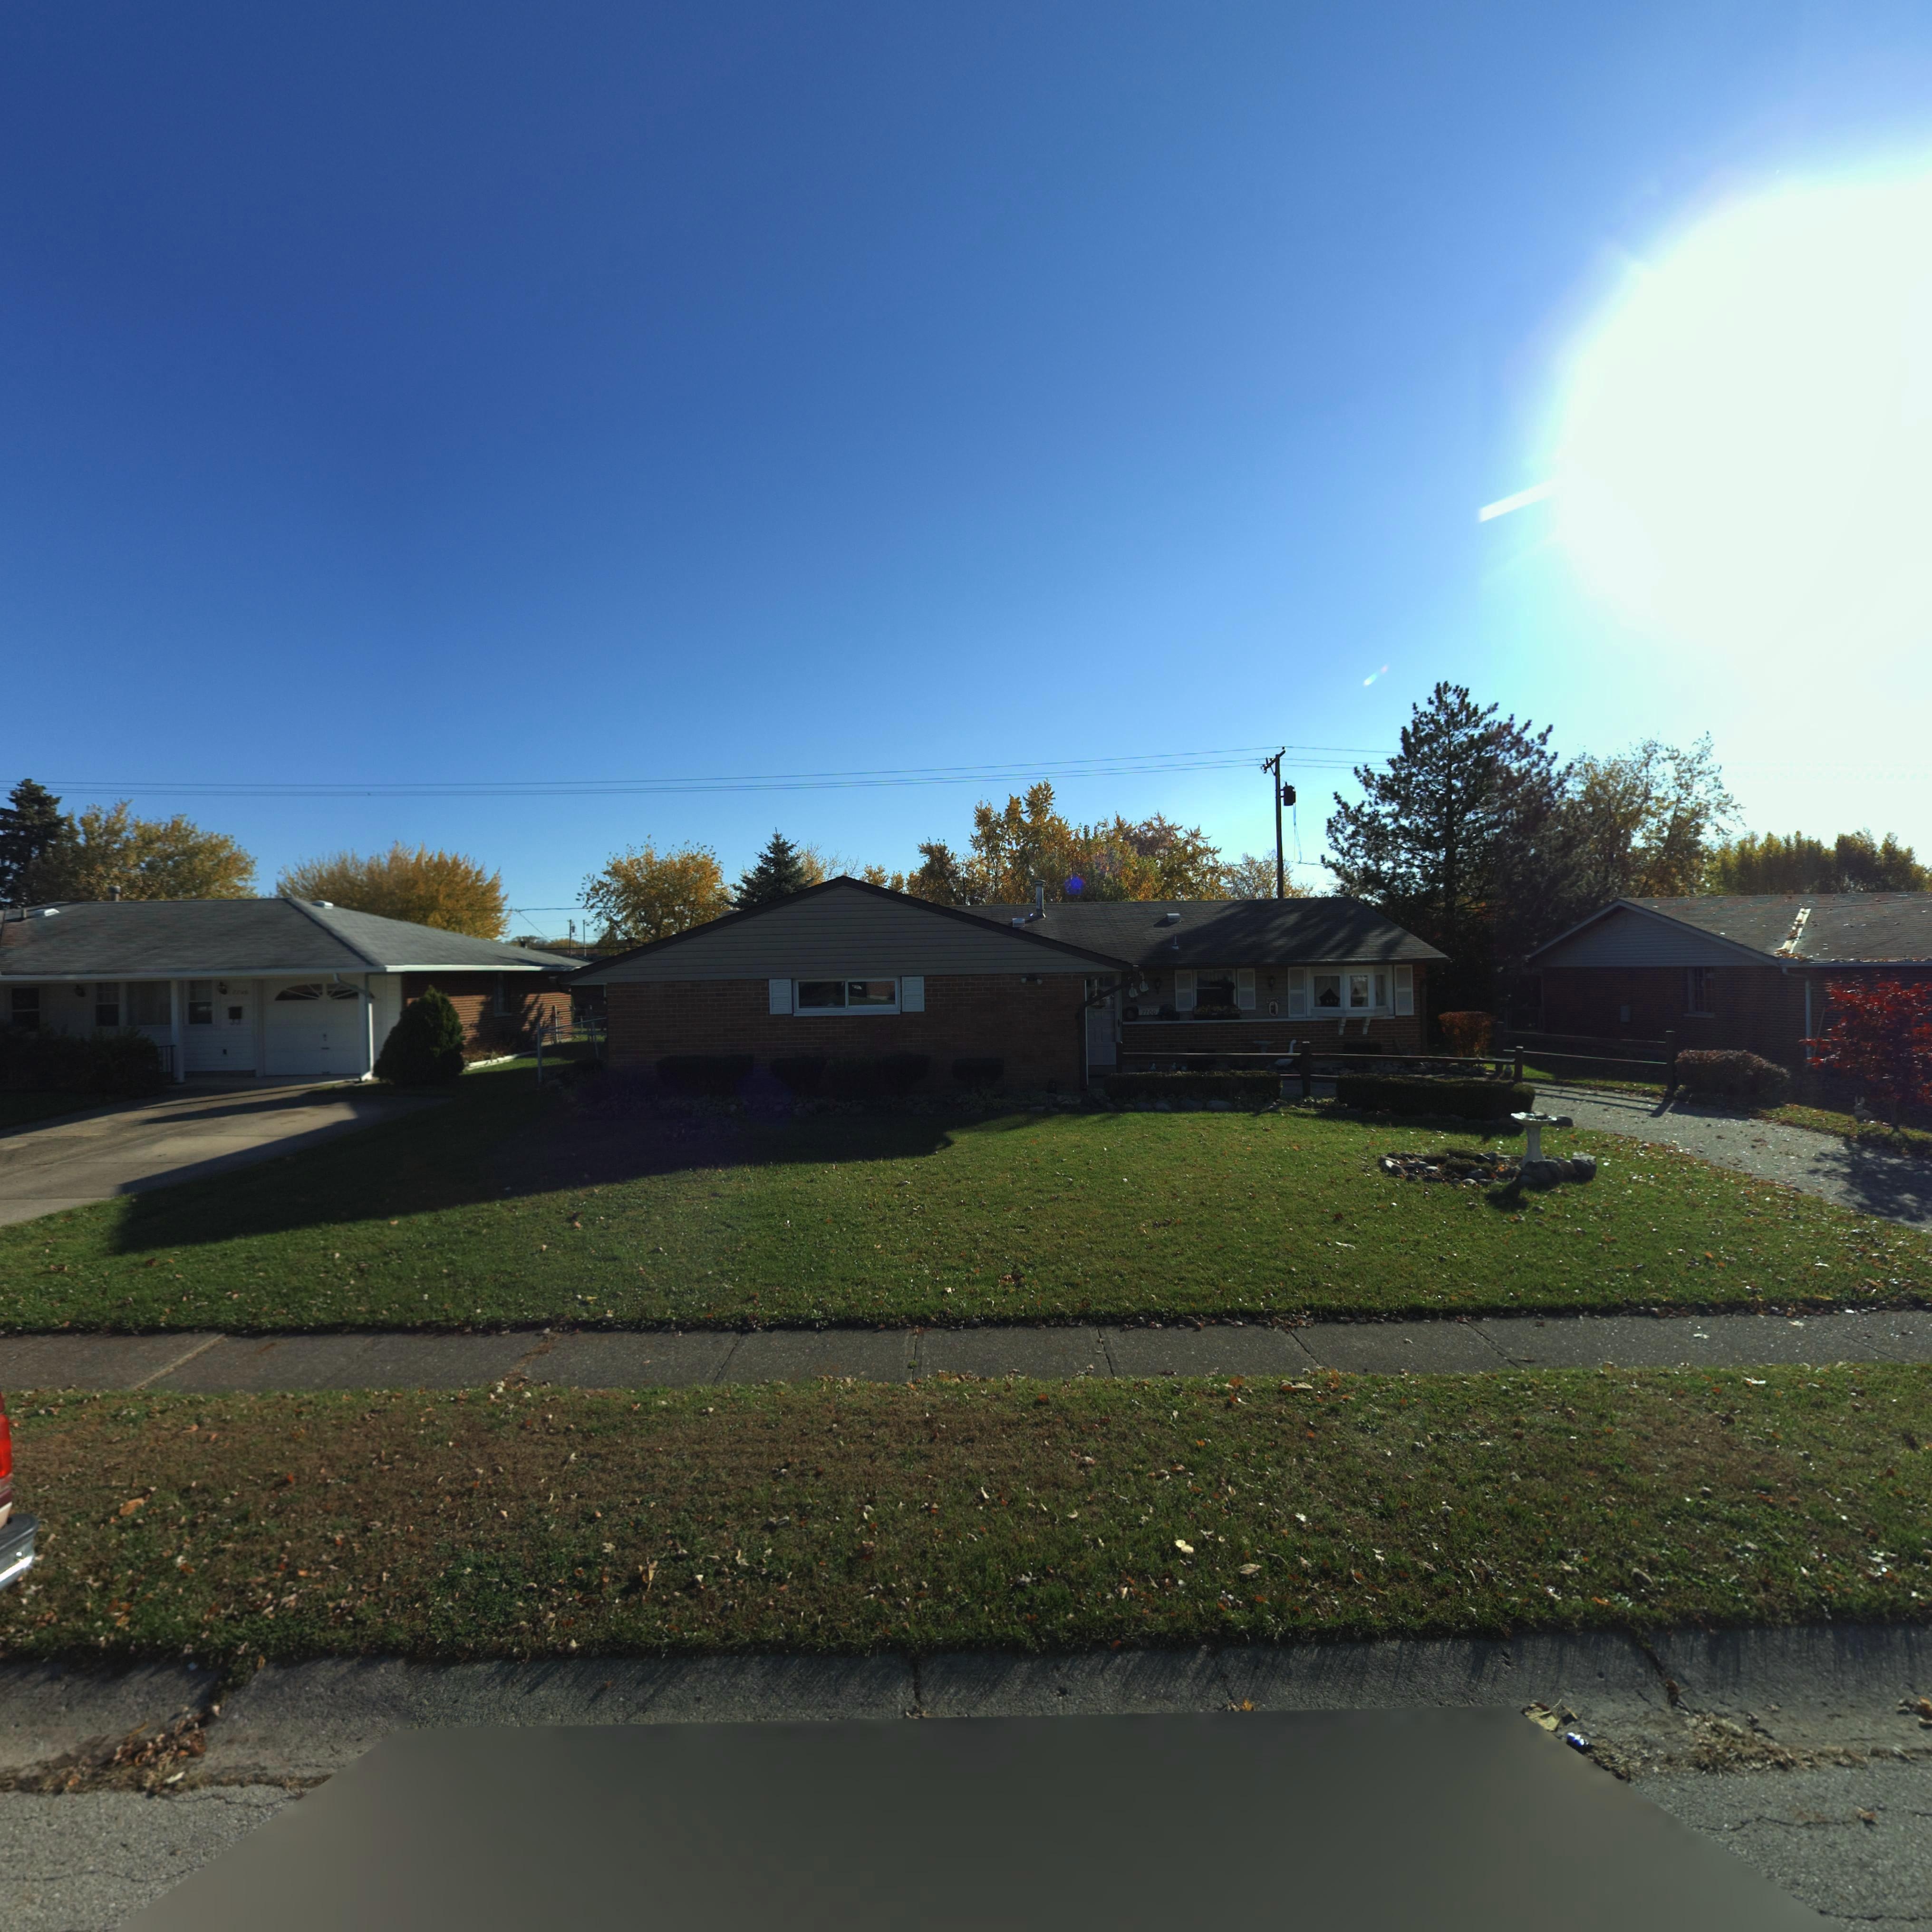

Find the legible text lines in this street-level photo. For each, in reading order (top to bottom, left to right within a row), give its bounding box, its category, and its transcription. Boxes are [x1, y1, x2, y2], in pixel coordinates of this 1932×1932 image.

[1140, 1009, 1157, 1016] StreetNumber: 7700